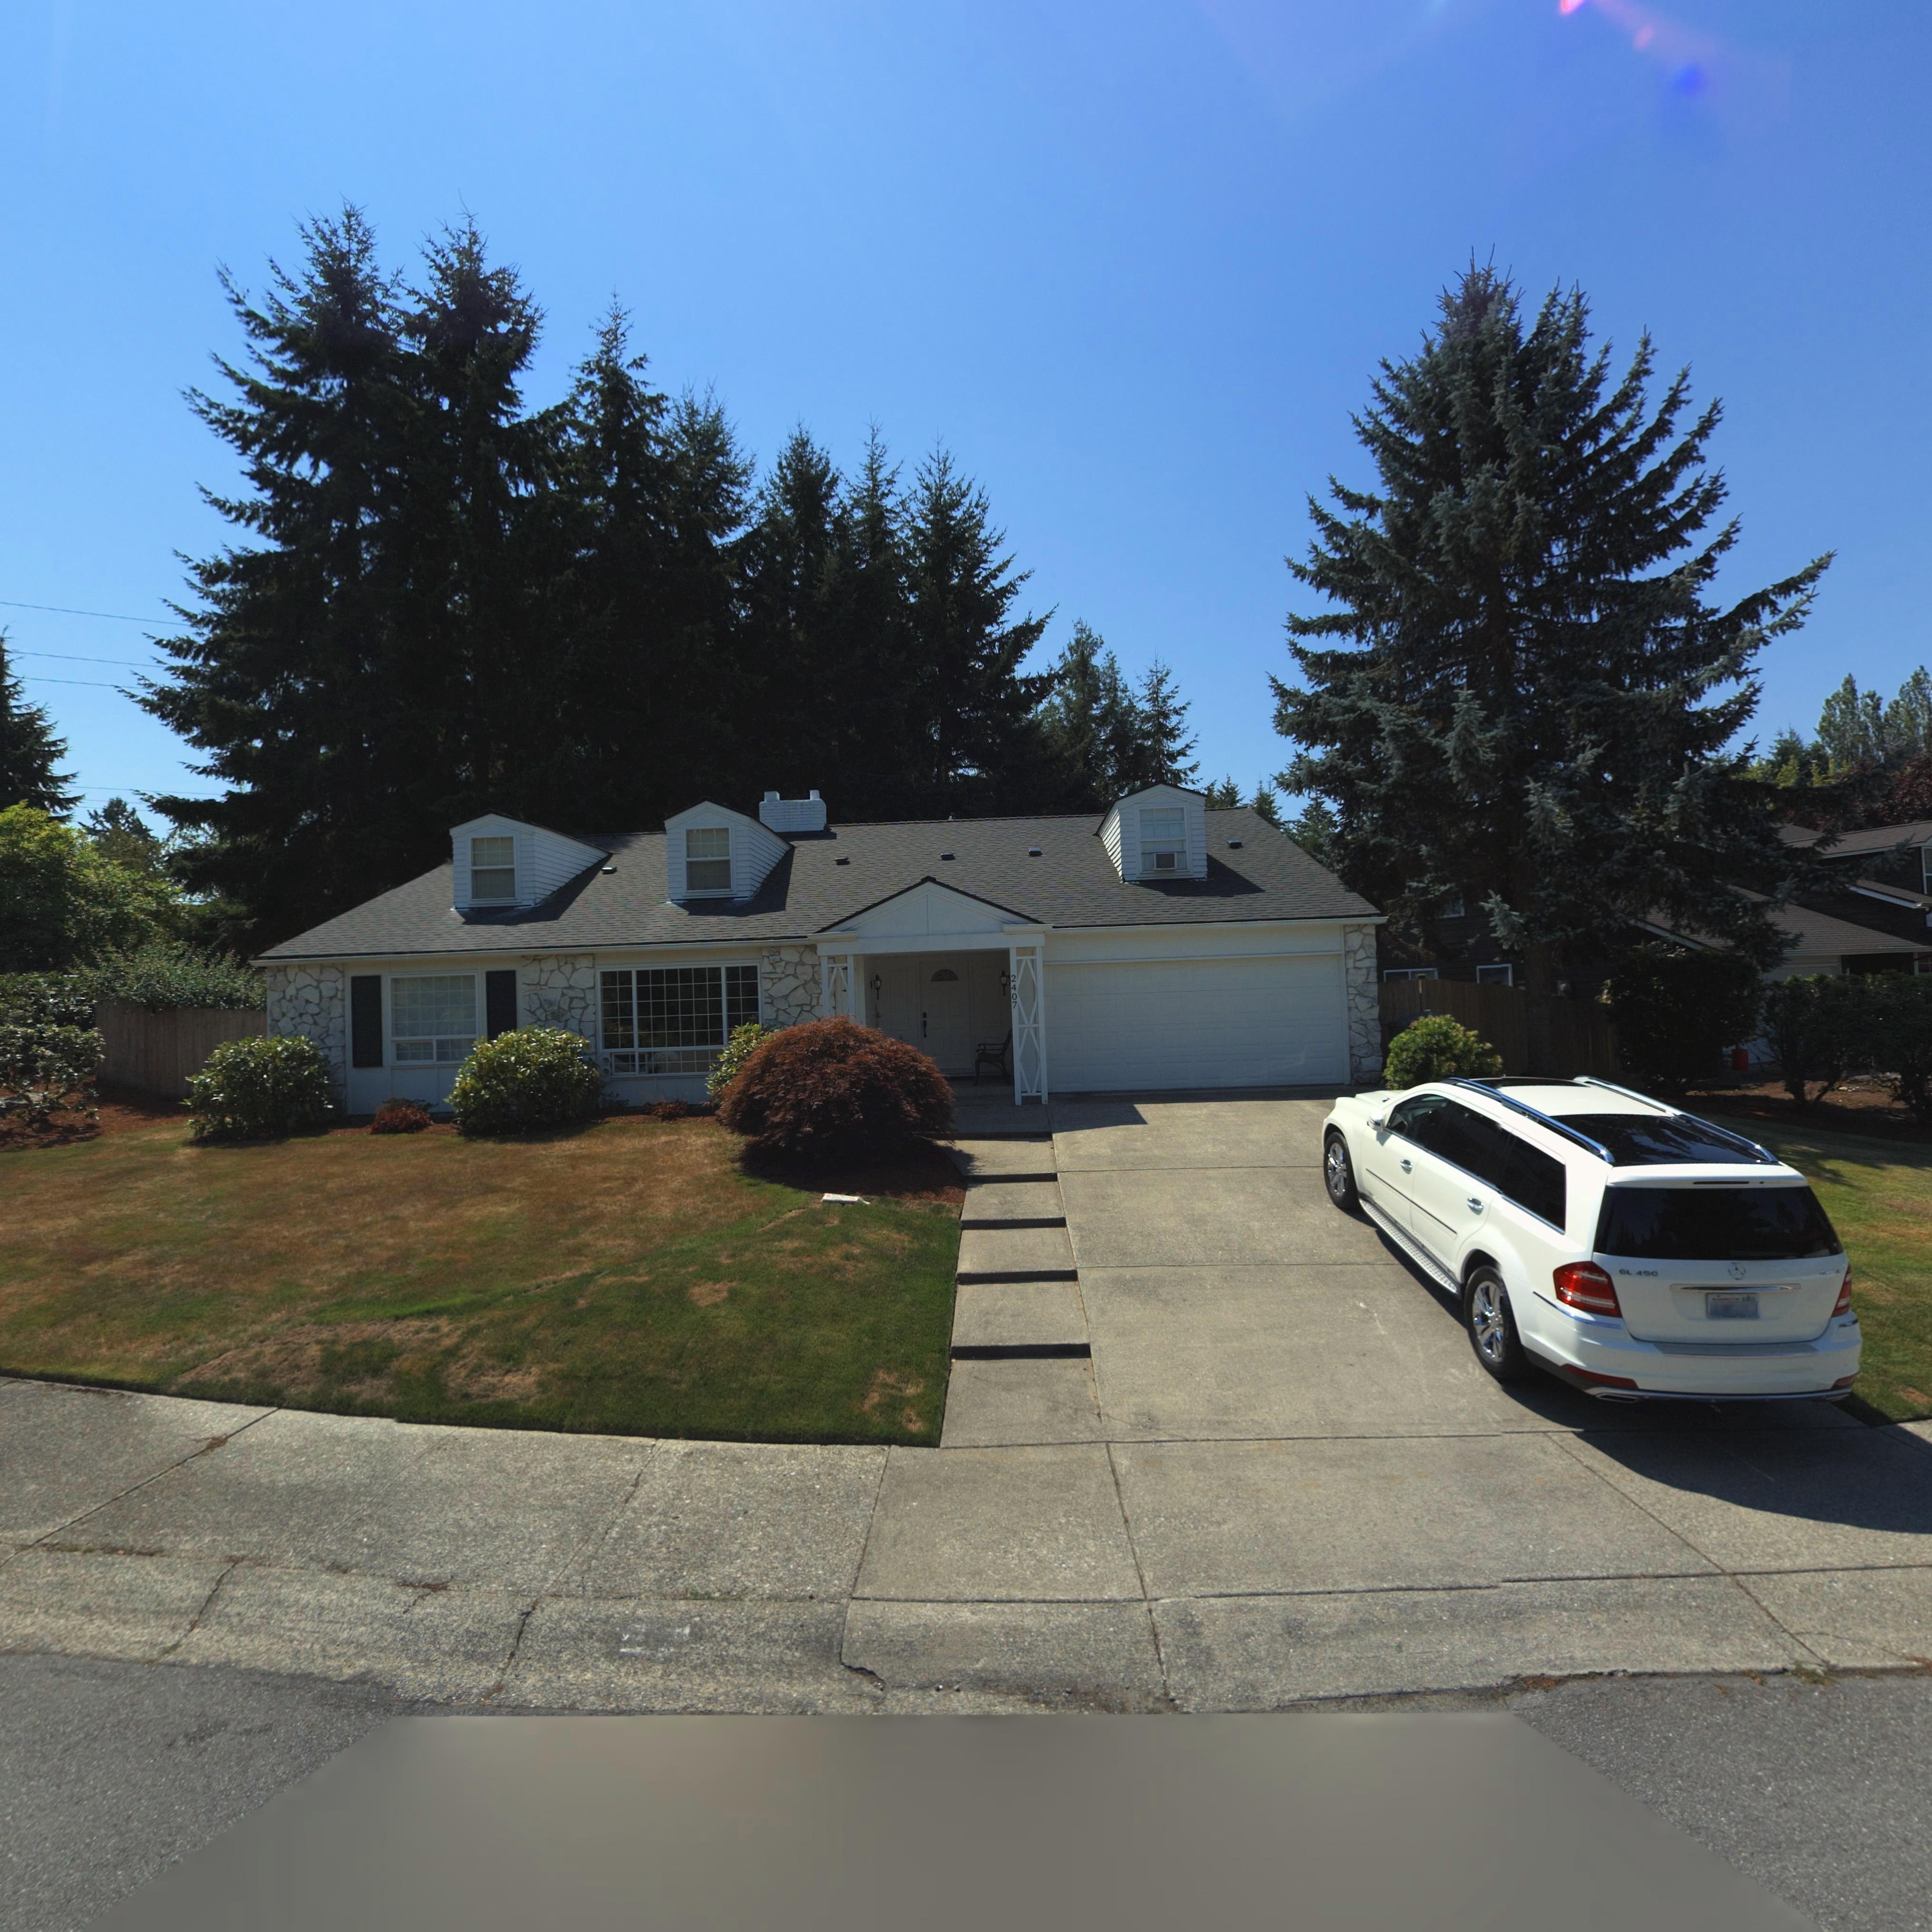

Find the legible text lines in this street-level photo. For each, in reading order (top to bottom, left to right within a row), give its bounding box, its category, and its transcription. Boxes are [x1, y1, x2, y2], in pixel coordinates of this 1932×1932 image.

[1010, 973, 1017, 1009] StreetNumber: 2407